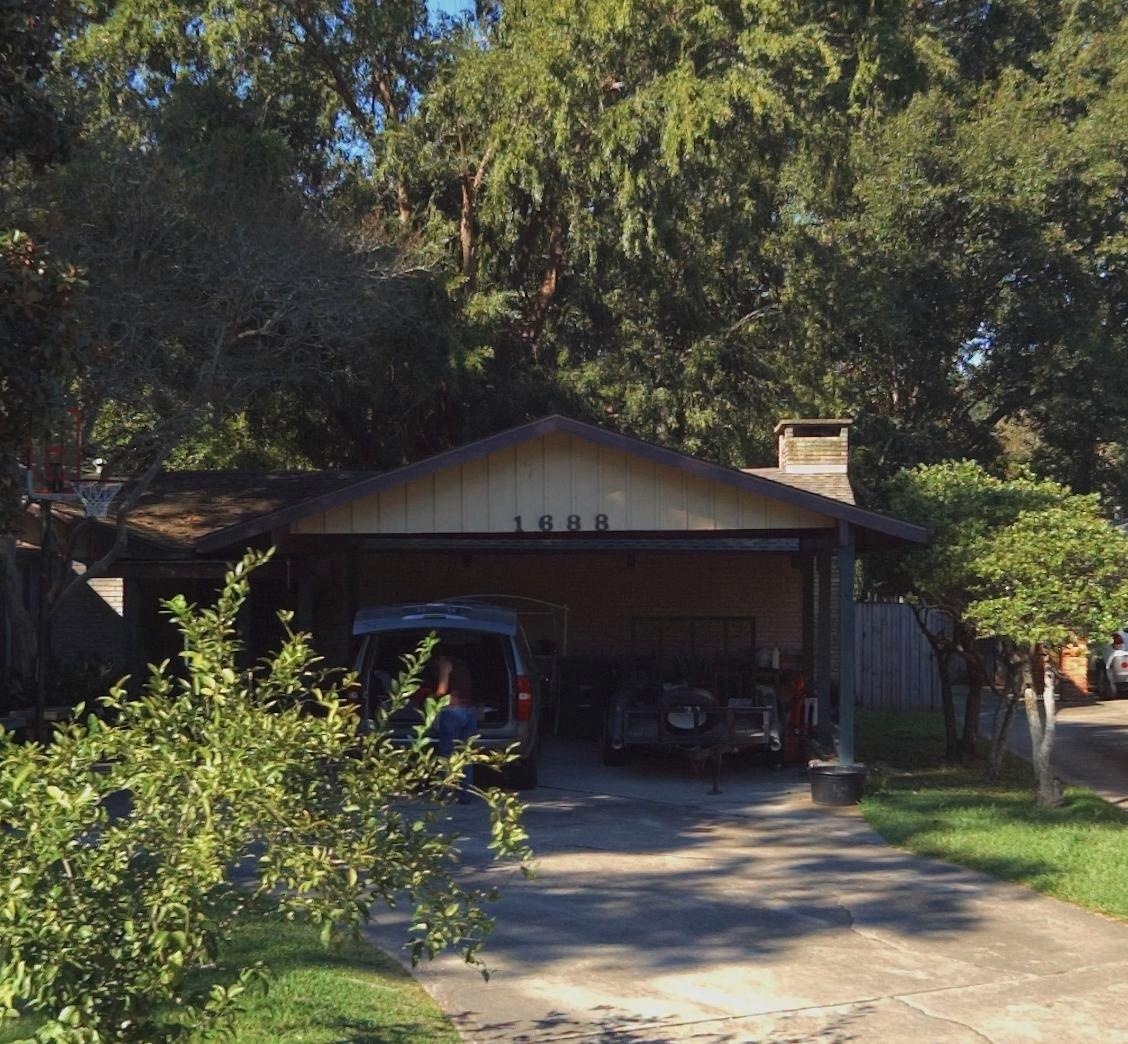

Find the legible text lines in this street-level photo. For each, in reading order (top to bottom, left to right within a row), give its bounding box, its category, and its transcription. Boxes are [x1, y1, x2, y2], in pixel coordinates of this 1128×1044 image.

[511, 511, 611, 534] StreetNumber: 1688